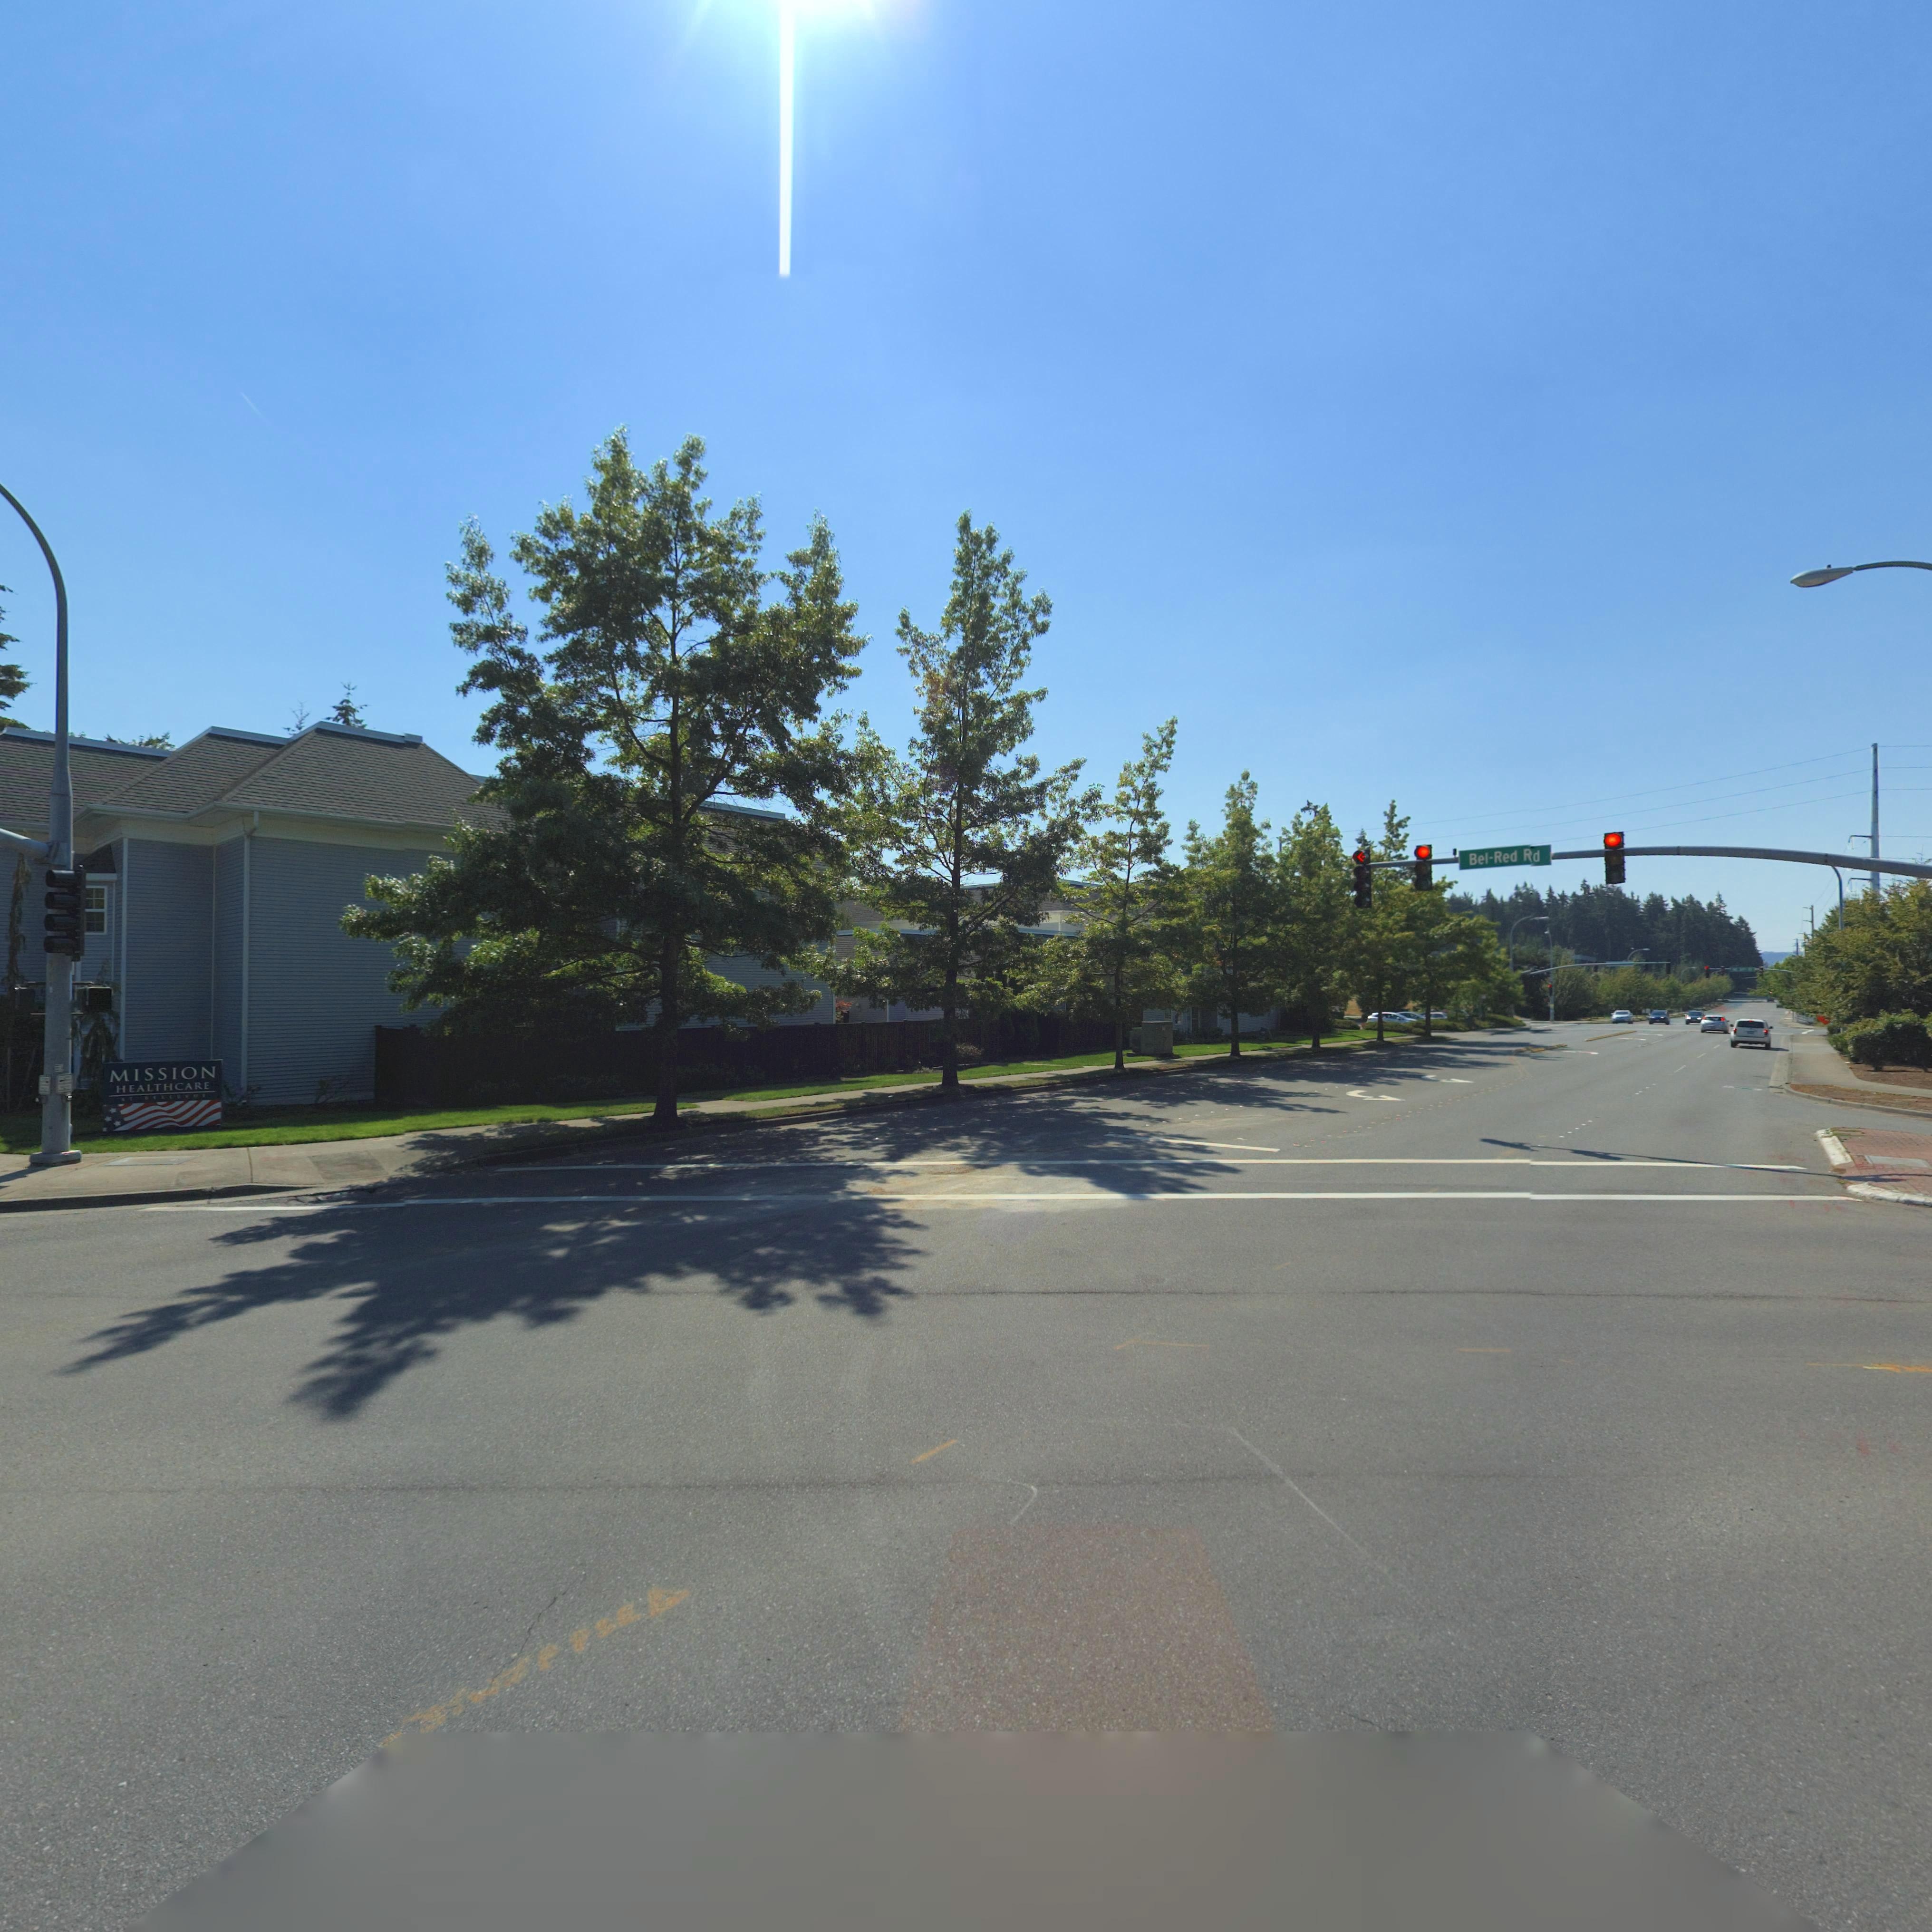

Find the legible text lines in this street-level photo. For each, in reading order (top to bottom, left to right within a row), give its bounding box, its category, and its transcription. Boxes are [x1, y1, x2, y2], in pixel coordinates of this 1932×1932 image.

[116, 1082, 209, 1092] BusinessName: HEALTHCARE